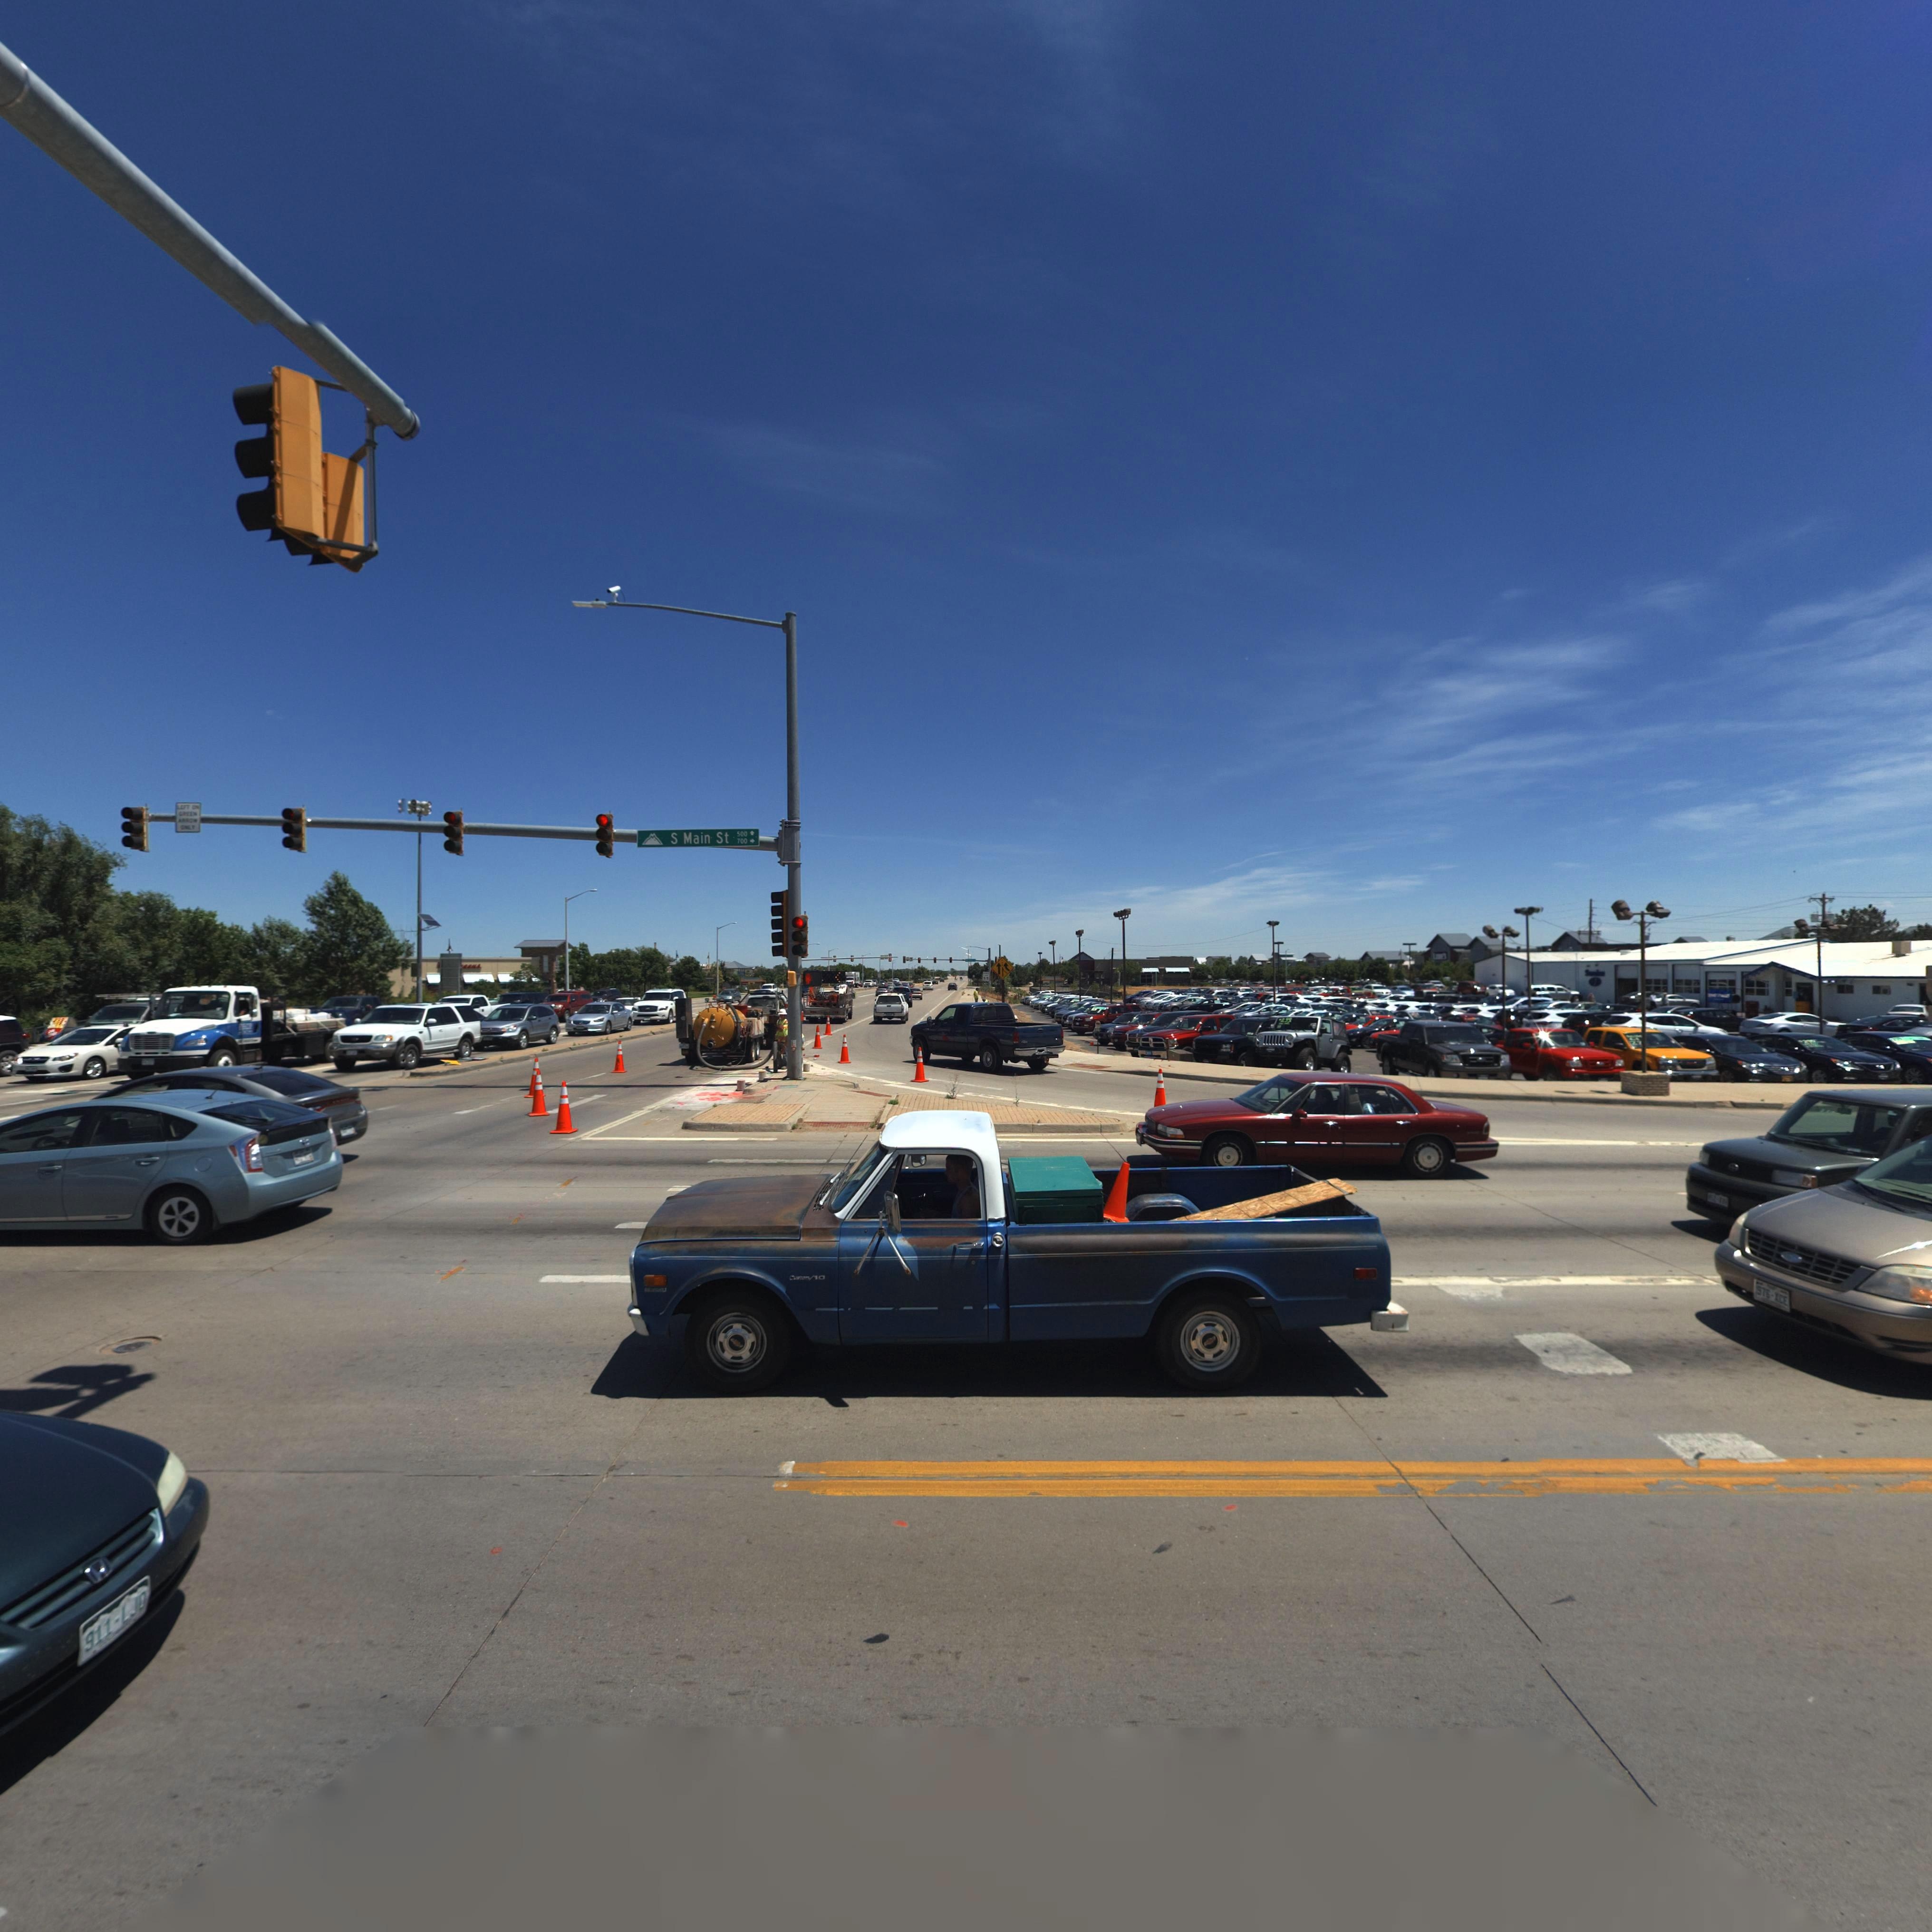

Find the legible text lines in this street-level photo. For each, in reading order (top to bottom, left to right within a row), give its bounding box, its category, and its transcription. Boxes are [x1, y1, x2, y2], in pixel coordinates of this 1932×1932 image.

[668, 831, 732, 844] StreetName: S Main St
[737, 831, 747, 837] StreetNumberRange: 500
[736, 837, 755, 844] StreetNumberRange: 700 ->
[1432, 952, 1447, 960] BusinessName: L***'s
[436, 961, 483, 969] BusinessName: *****eens